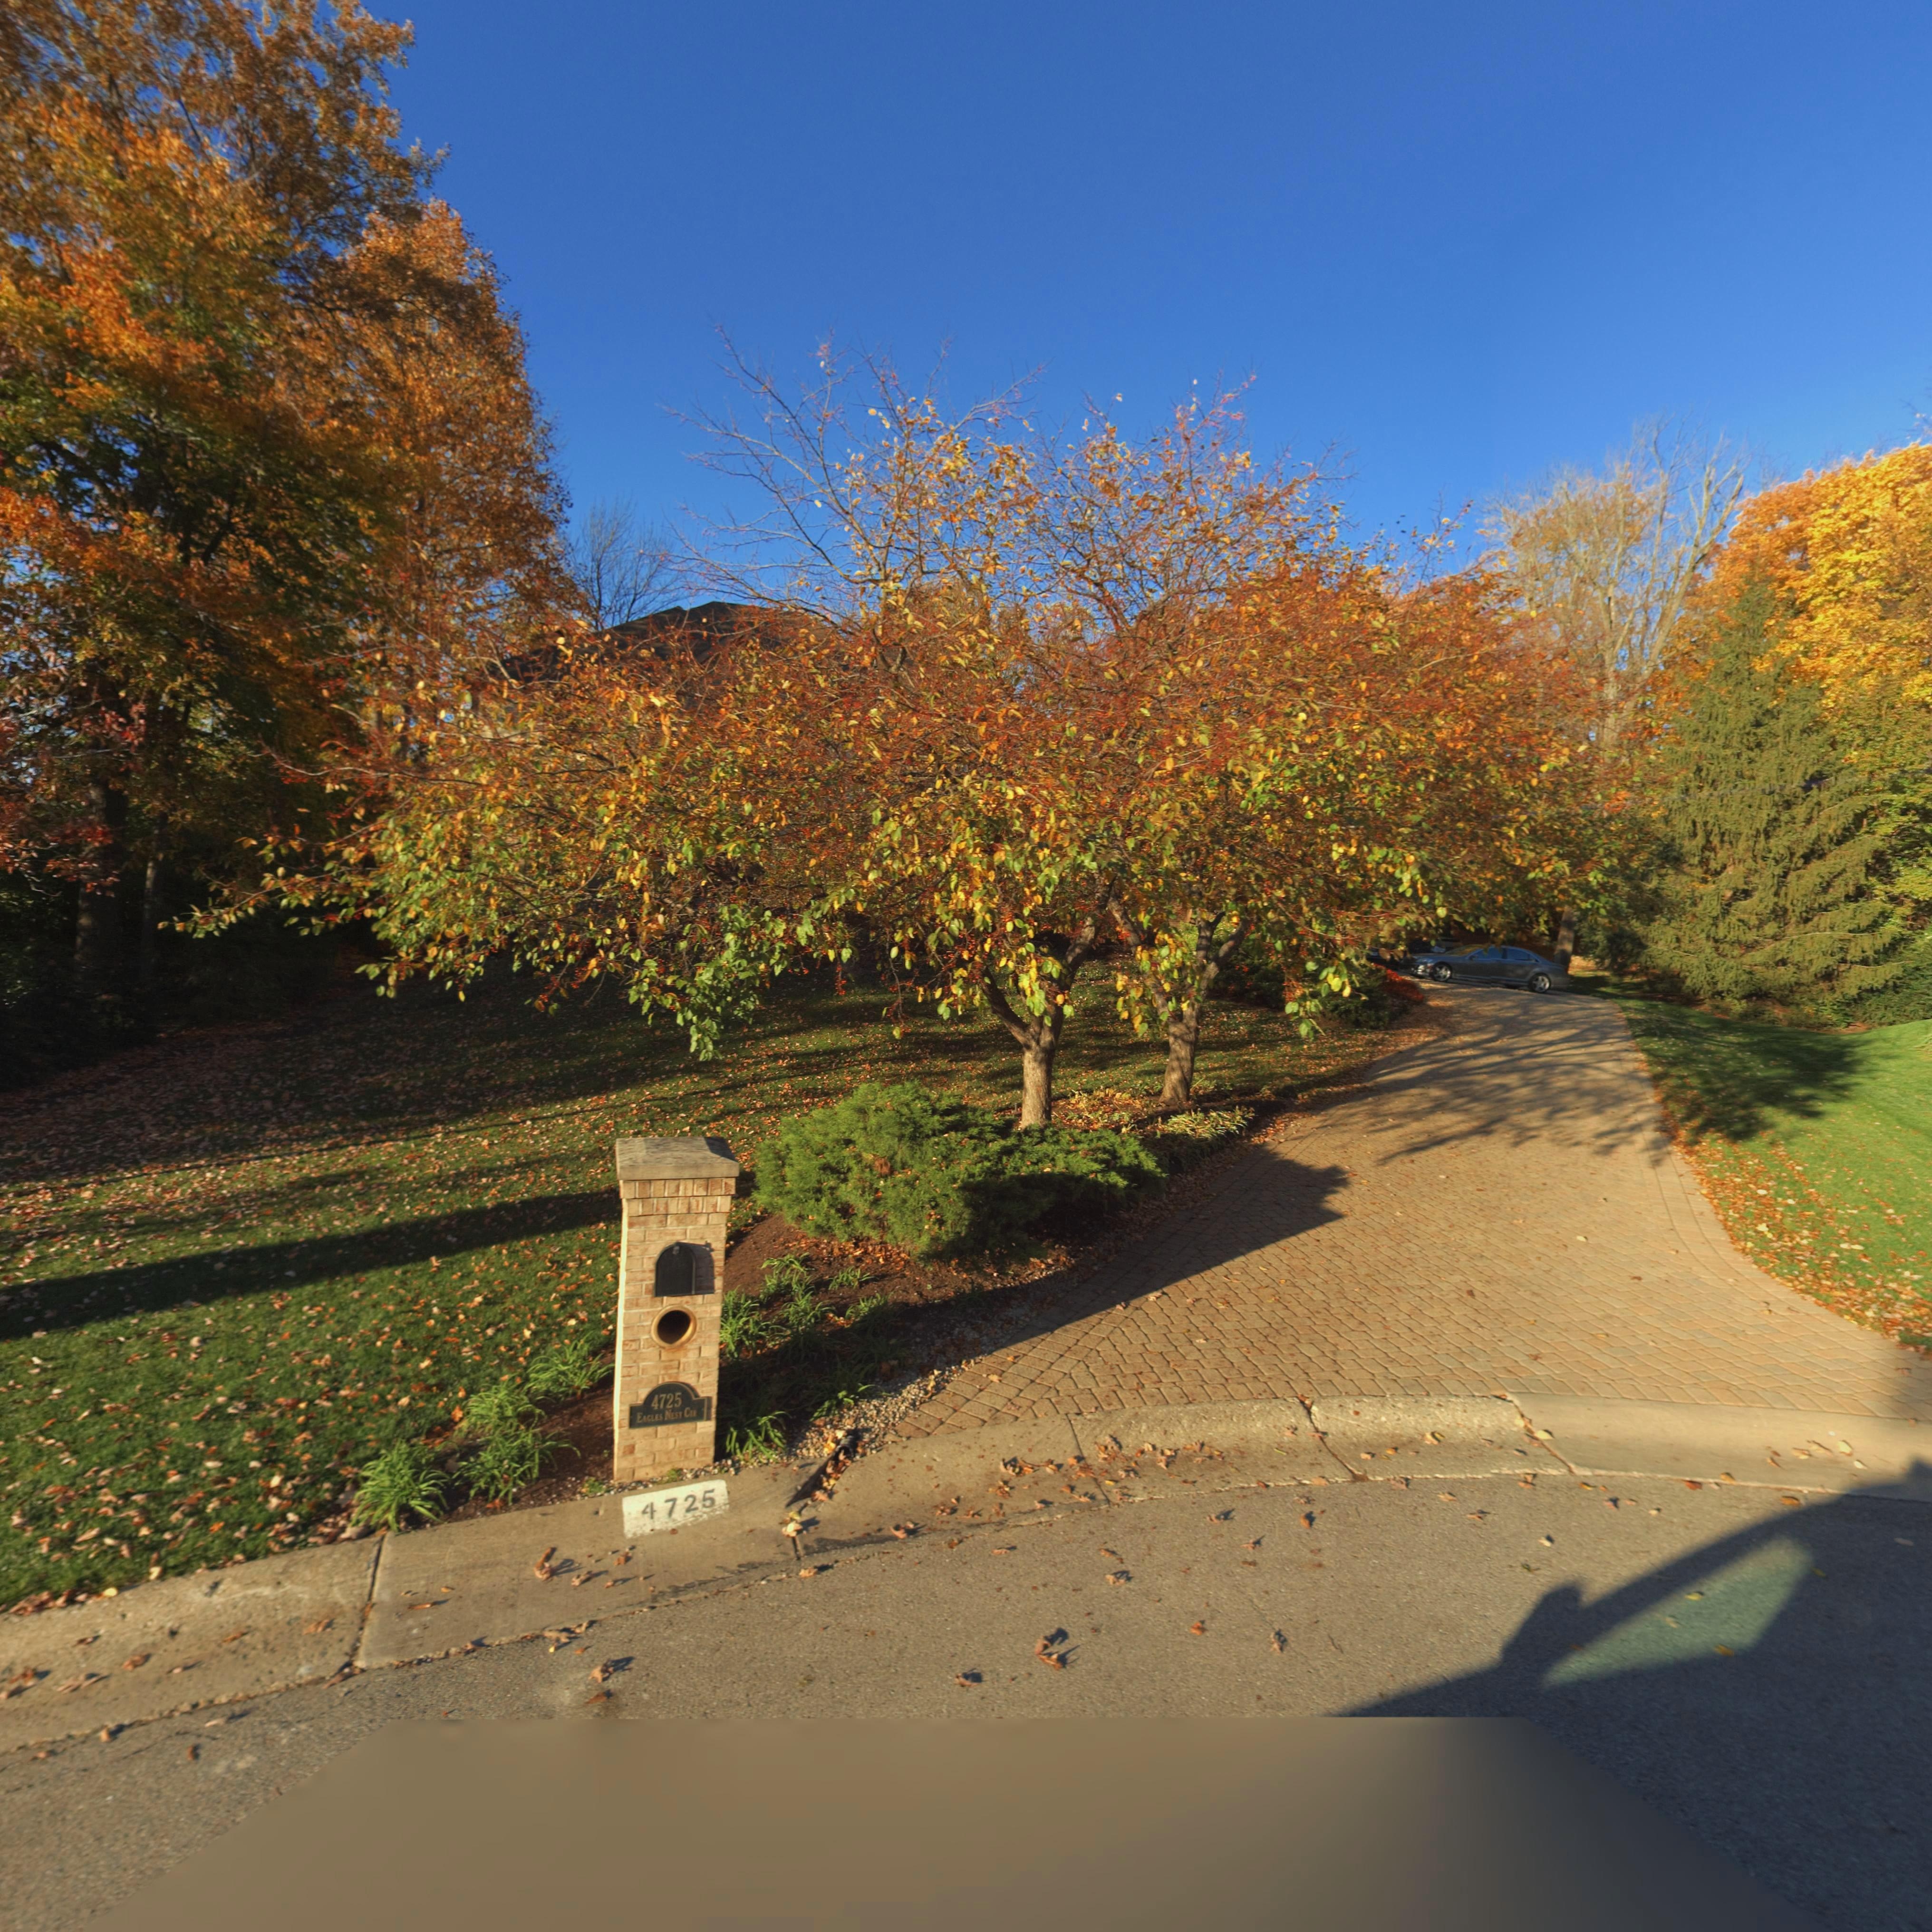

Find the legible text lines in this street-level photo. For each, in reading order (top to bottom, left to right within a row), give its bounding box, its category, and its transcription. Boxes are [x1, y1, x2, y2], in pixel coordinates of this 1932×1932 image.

[649, 1391, 684, 1412] StreetNumber: 4725
[635, 1406, 697, 1425] StreetName: EAGLES NEST CIR
[639, 1485, 719, 1521] StreetNumber: 4725